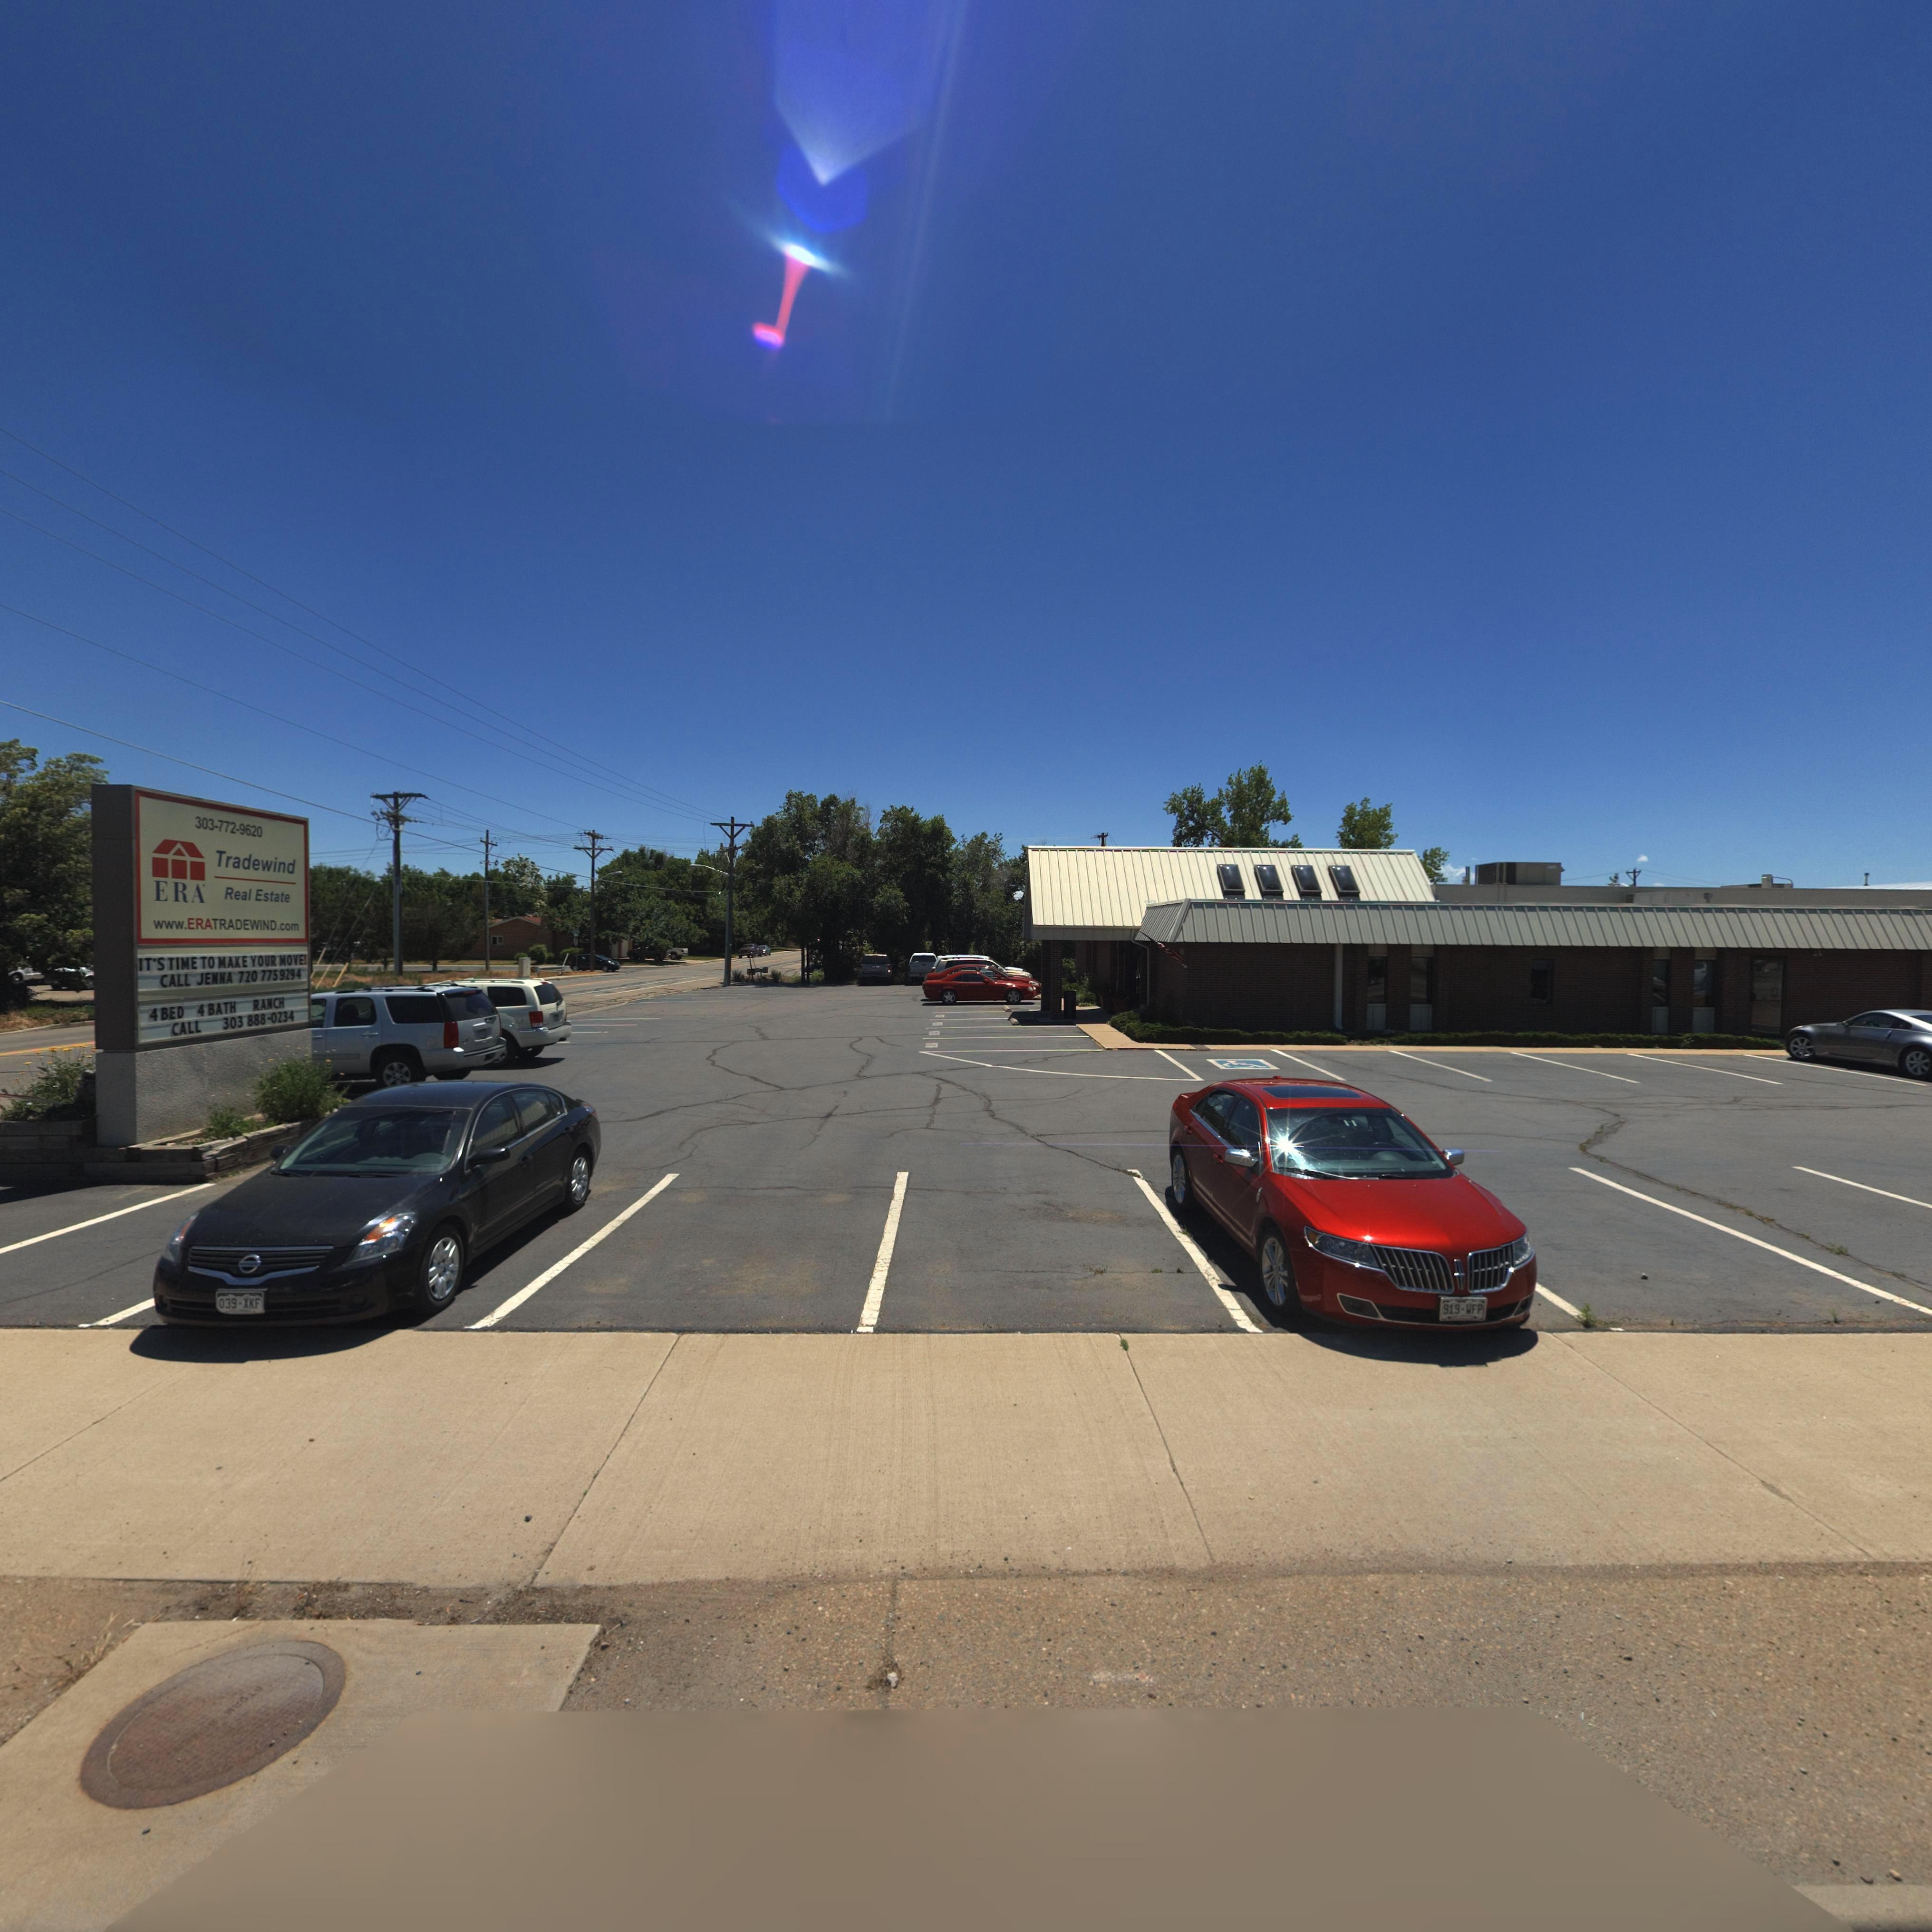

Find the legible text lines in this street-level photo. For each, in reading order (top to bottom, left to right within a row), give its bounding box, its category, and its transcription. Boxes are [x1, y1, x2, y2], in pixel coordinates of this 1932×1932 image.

[215, 849, 296, 875] BusinessName: Tradewind
[153, 879, 206, 904] BusinessName: ERA
[223, 886, 291, 903] BusinessName: Real Estate